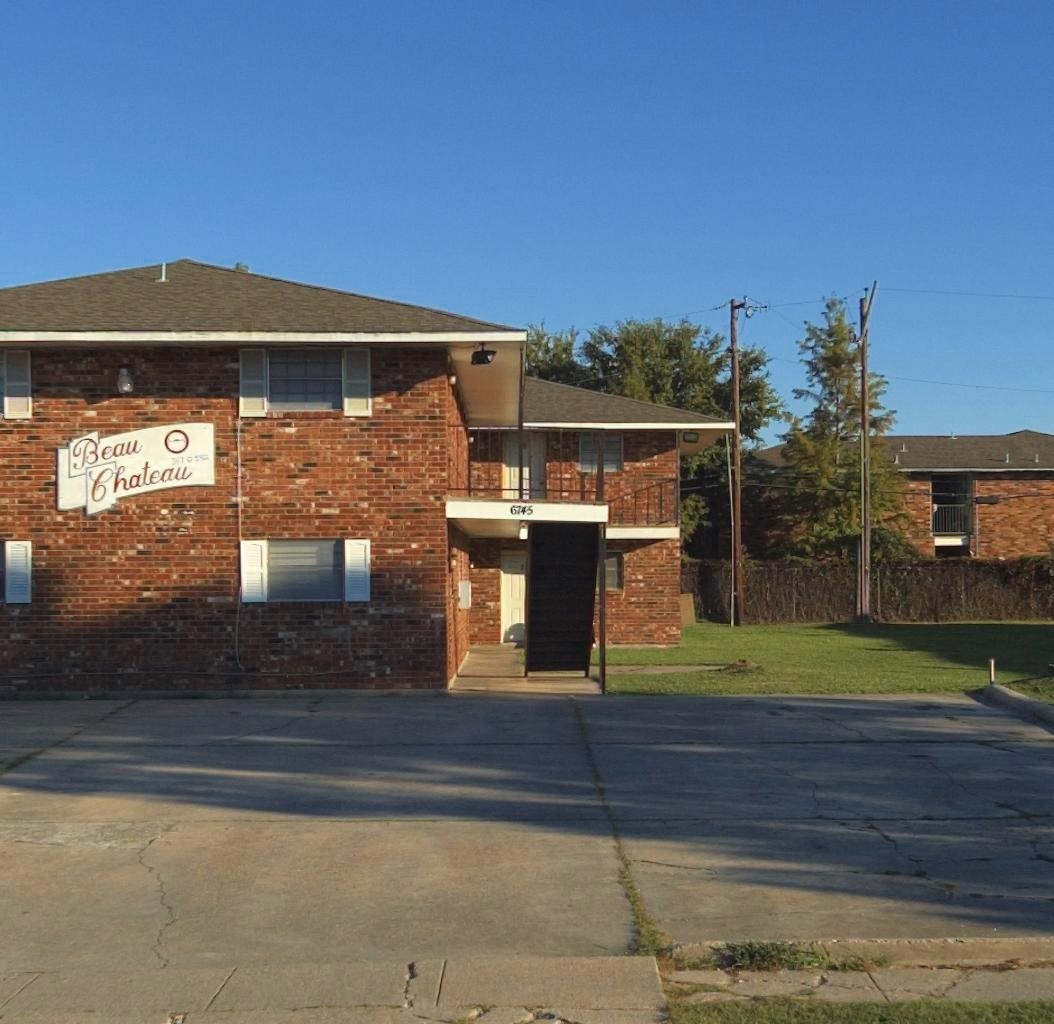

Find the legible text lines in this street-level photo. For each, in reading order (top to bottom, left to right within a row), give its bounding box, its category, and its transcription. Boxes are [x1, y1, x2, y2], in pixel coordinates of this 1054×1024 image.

[71, 434, 147, 473] BusinessName: Beau
[90, 458, 196, 505] BusinessName: Chateau
[508, 503, 535, 517] StreetNumber: 6745